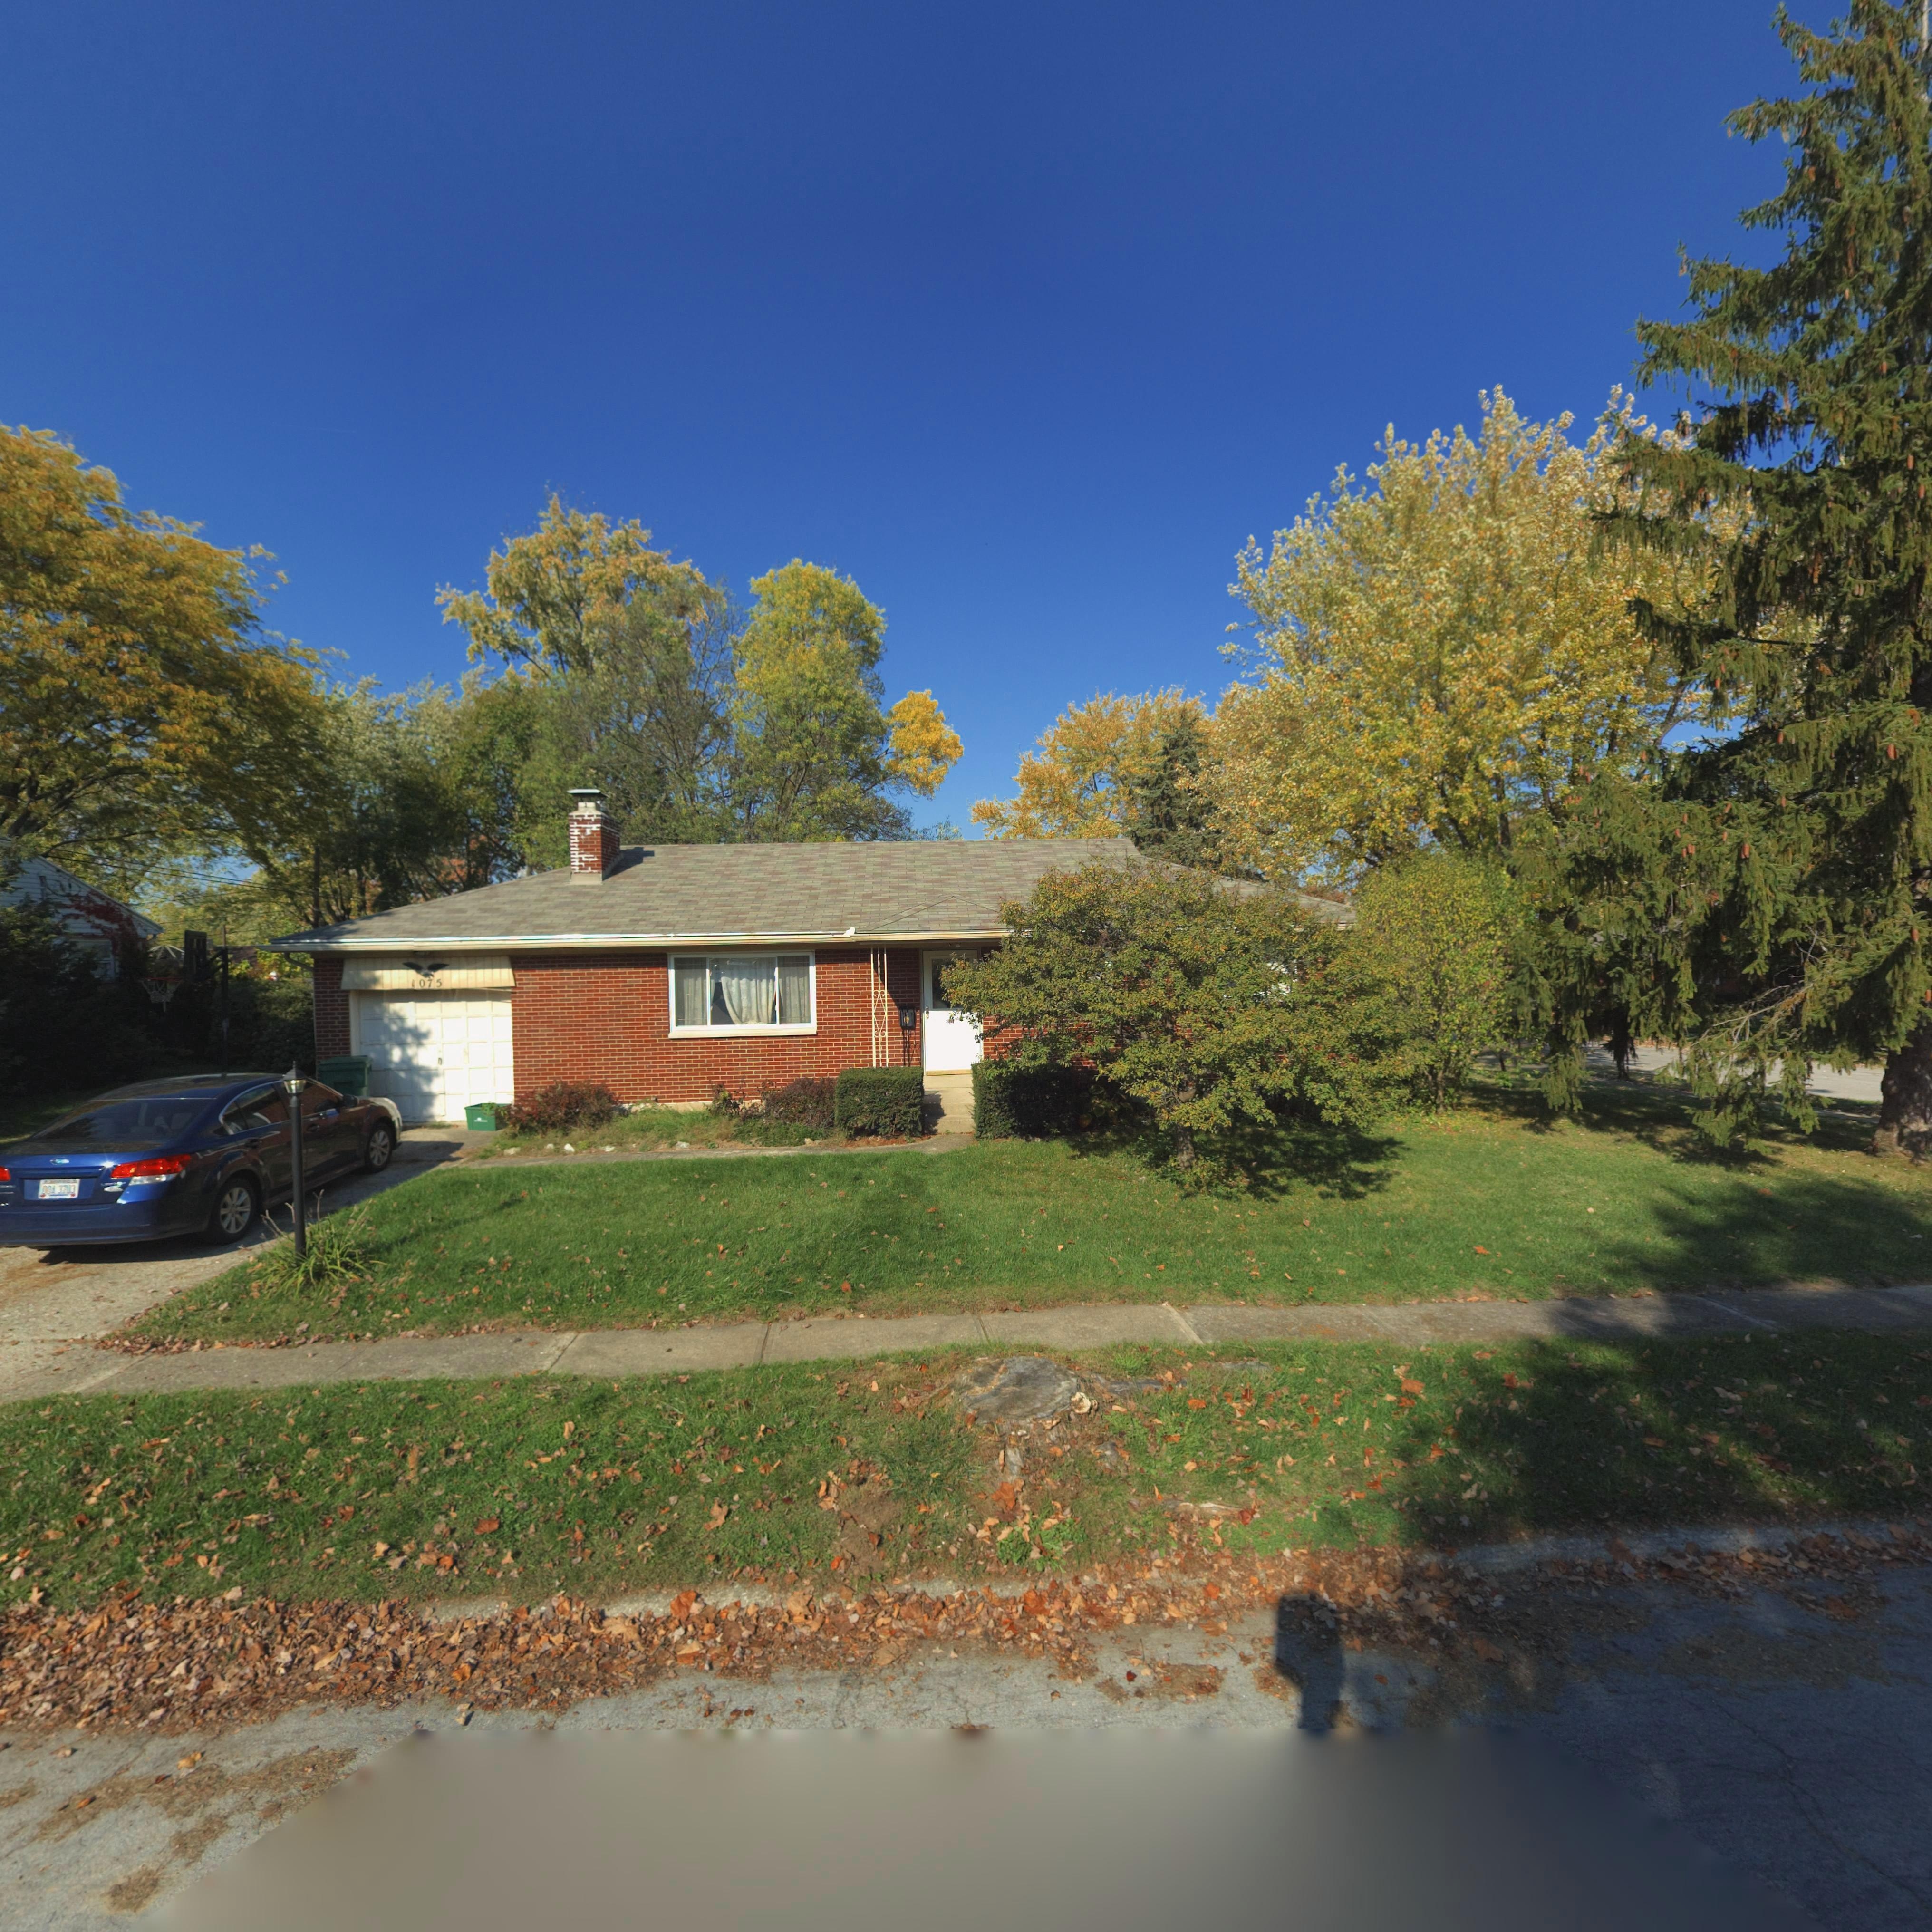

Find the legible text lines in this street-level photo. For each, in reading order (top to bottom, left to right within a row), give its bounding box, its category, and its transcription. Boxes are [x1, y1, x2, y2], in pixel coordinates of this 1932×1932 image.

[410, 978, 442, 988] StreetNumber: 1075
[41, 1183, 75, 1192] None: OOA 3703